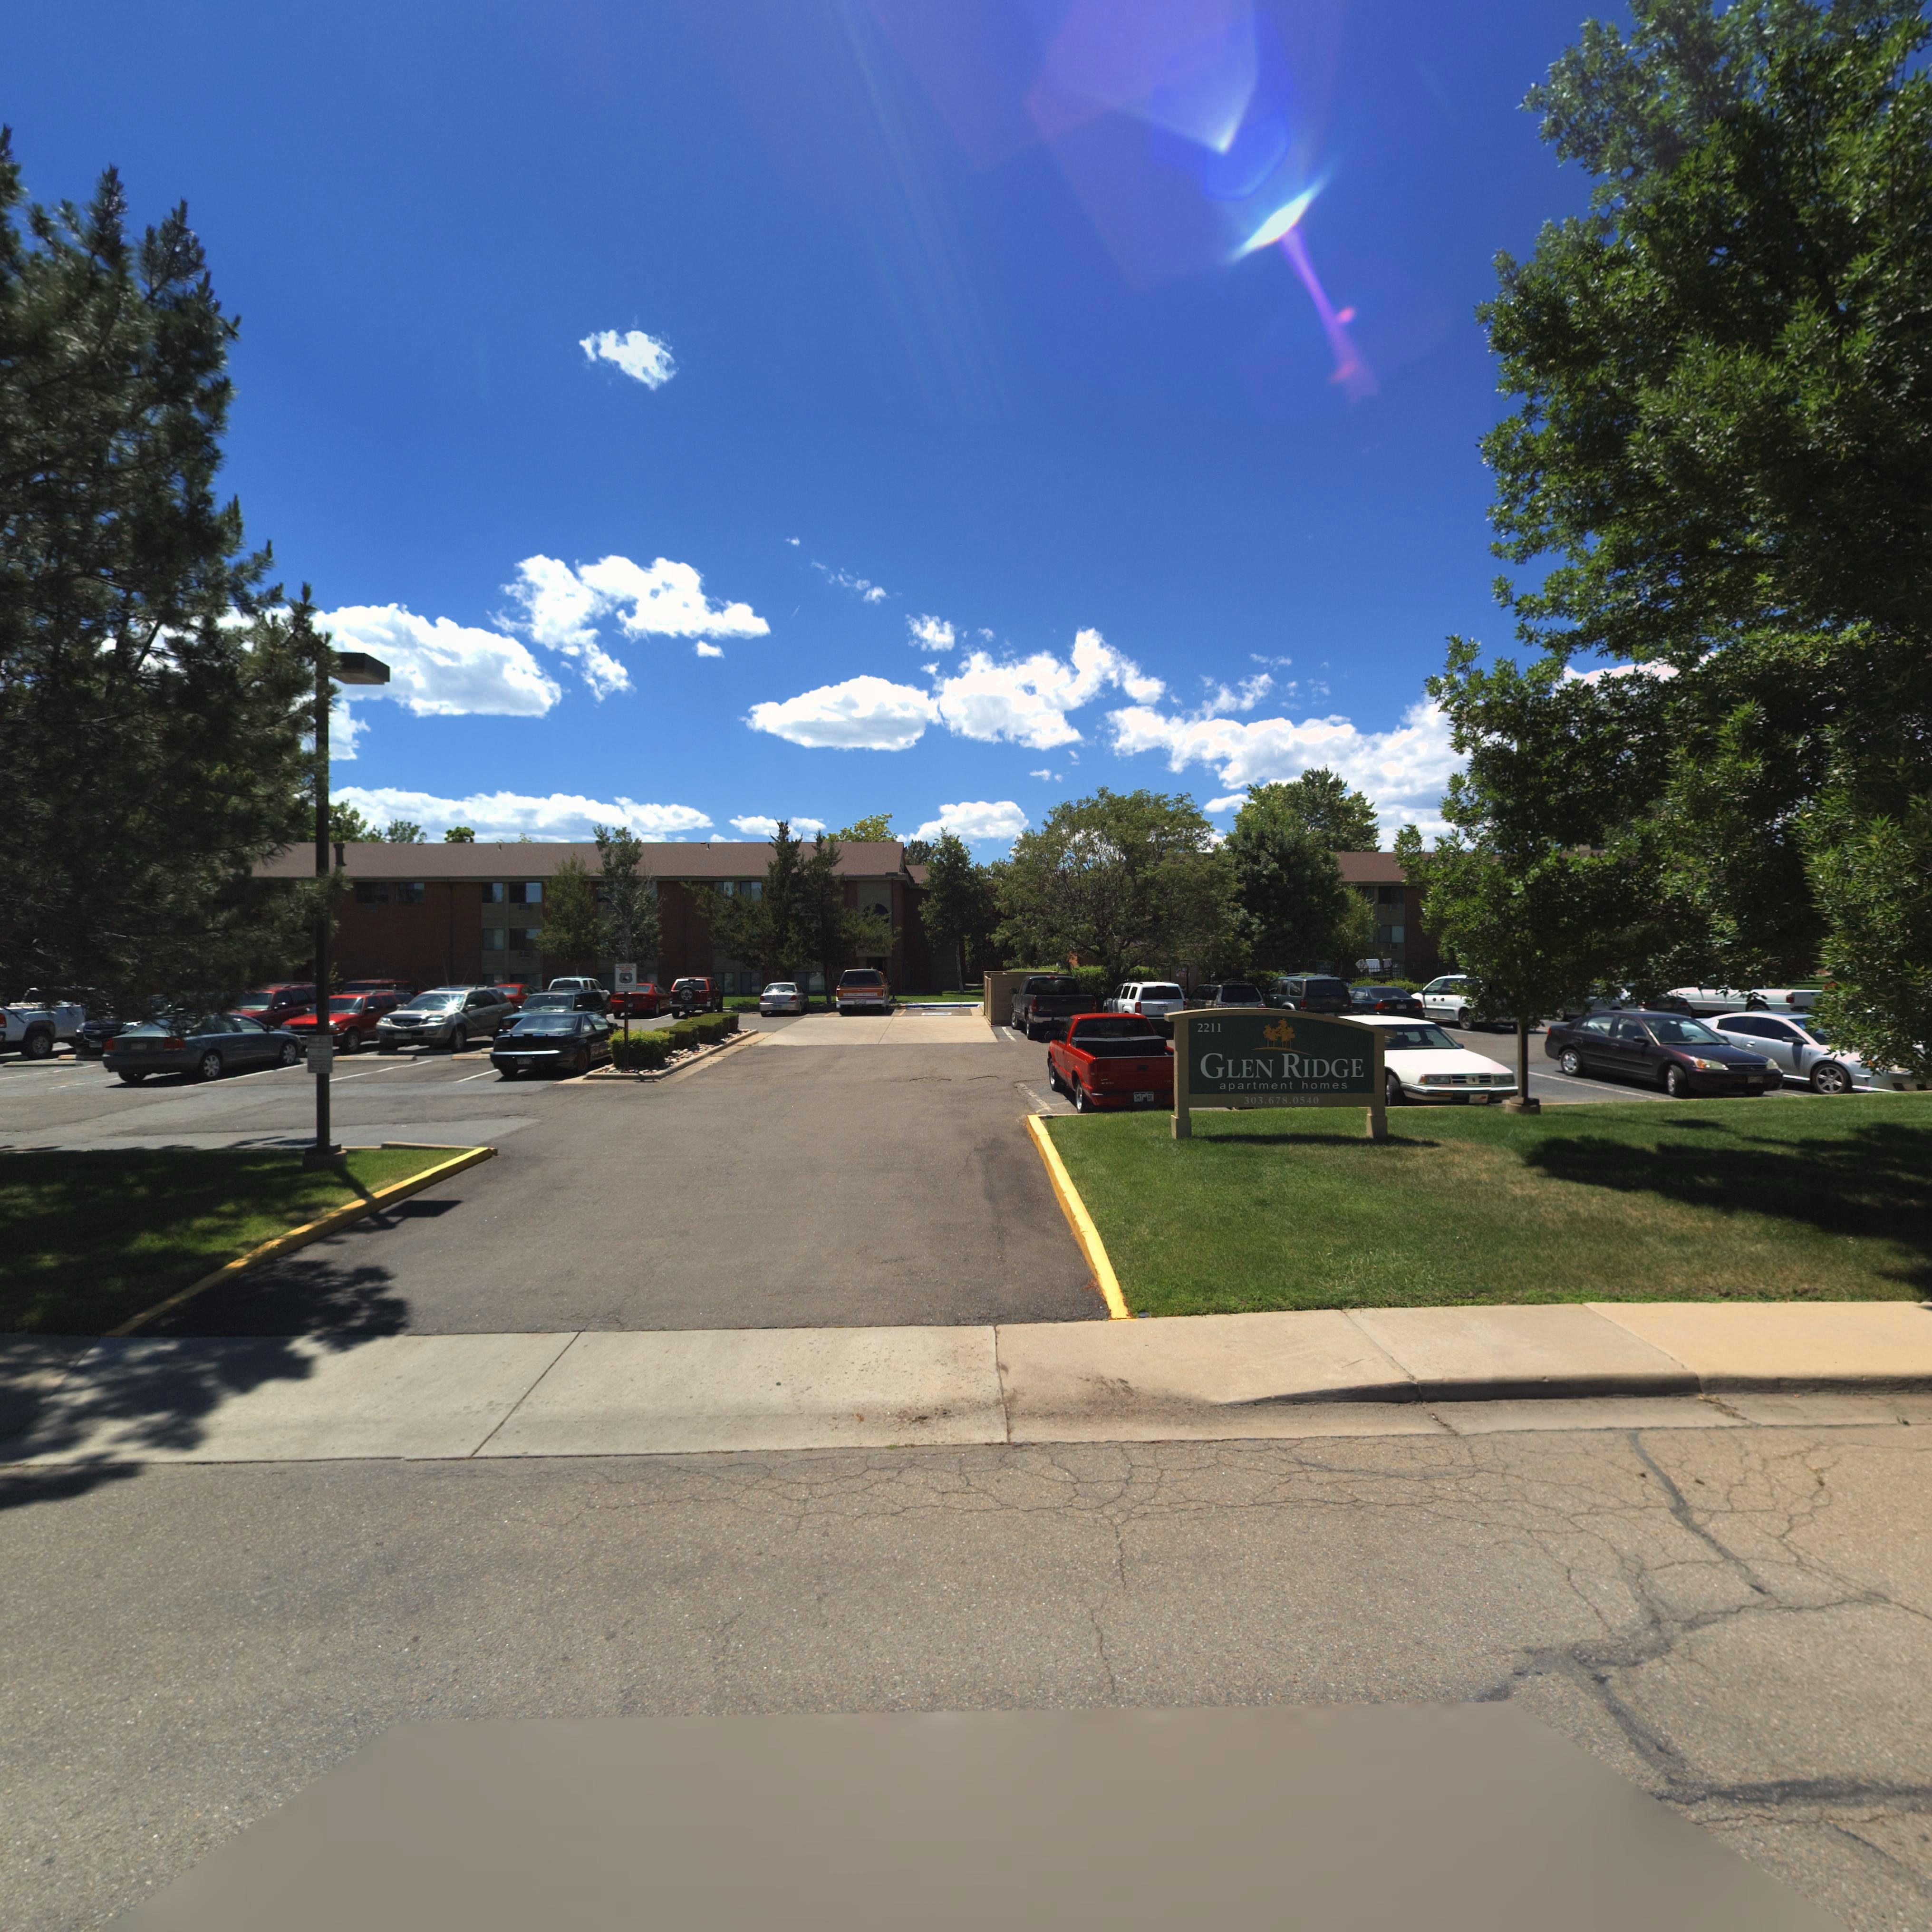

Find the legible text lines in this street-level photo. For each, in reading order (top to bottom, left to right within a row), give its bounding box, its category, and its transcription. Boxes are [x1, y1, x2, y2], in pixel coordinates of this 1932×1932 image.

[1197, 1022, 1222, 1033] StreetNumber: 2211
[1198, 1052, 1364, 1079] BusinessName: GLEN RIDGE